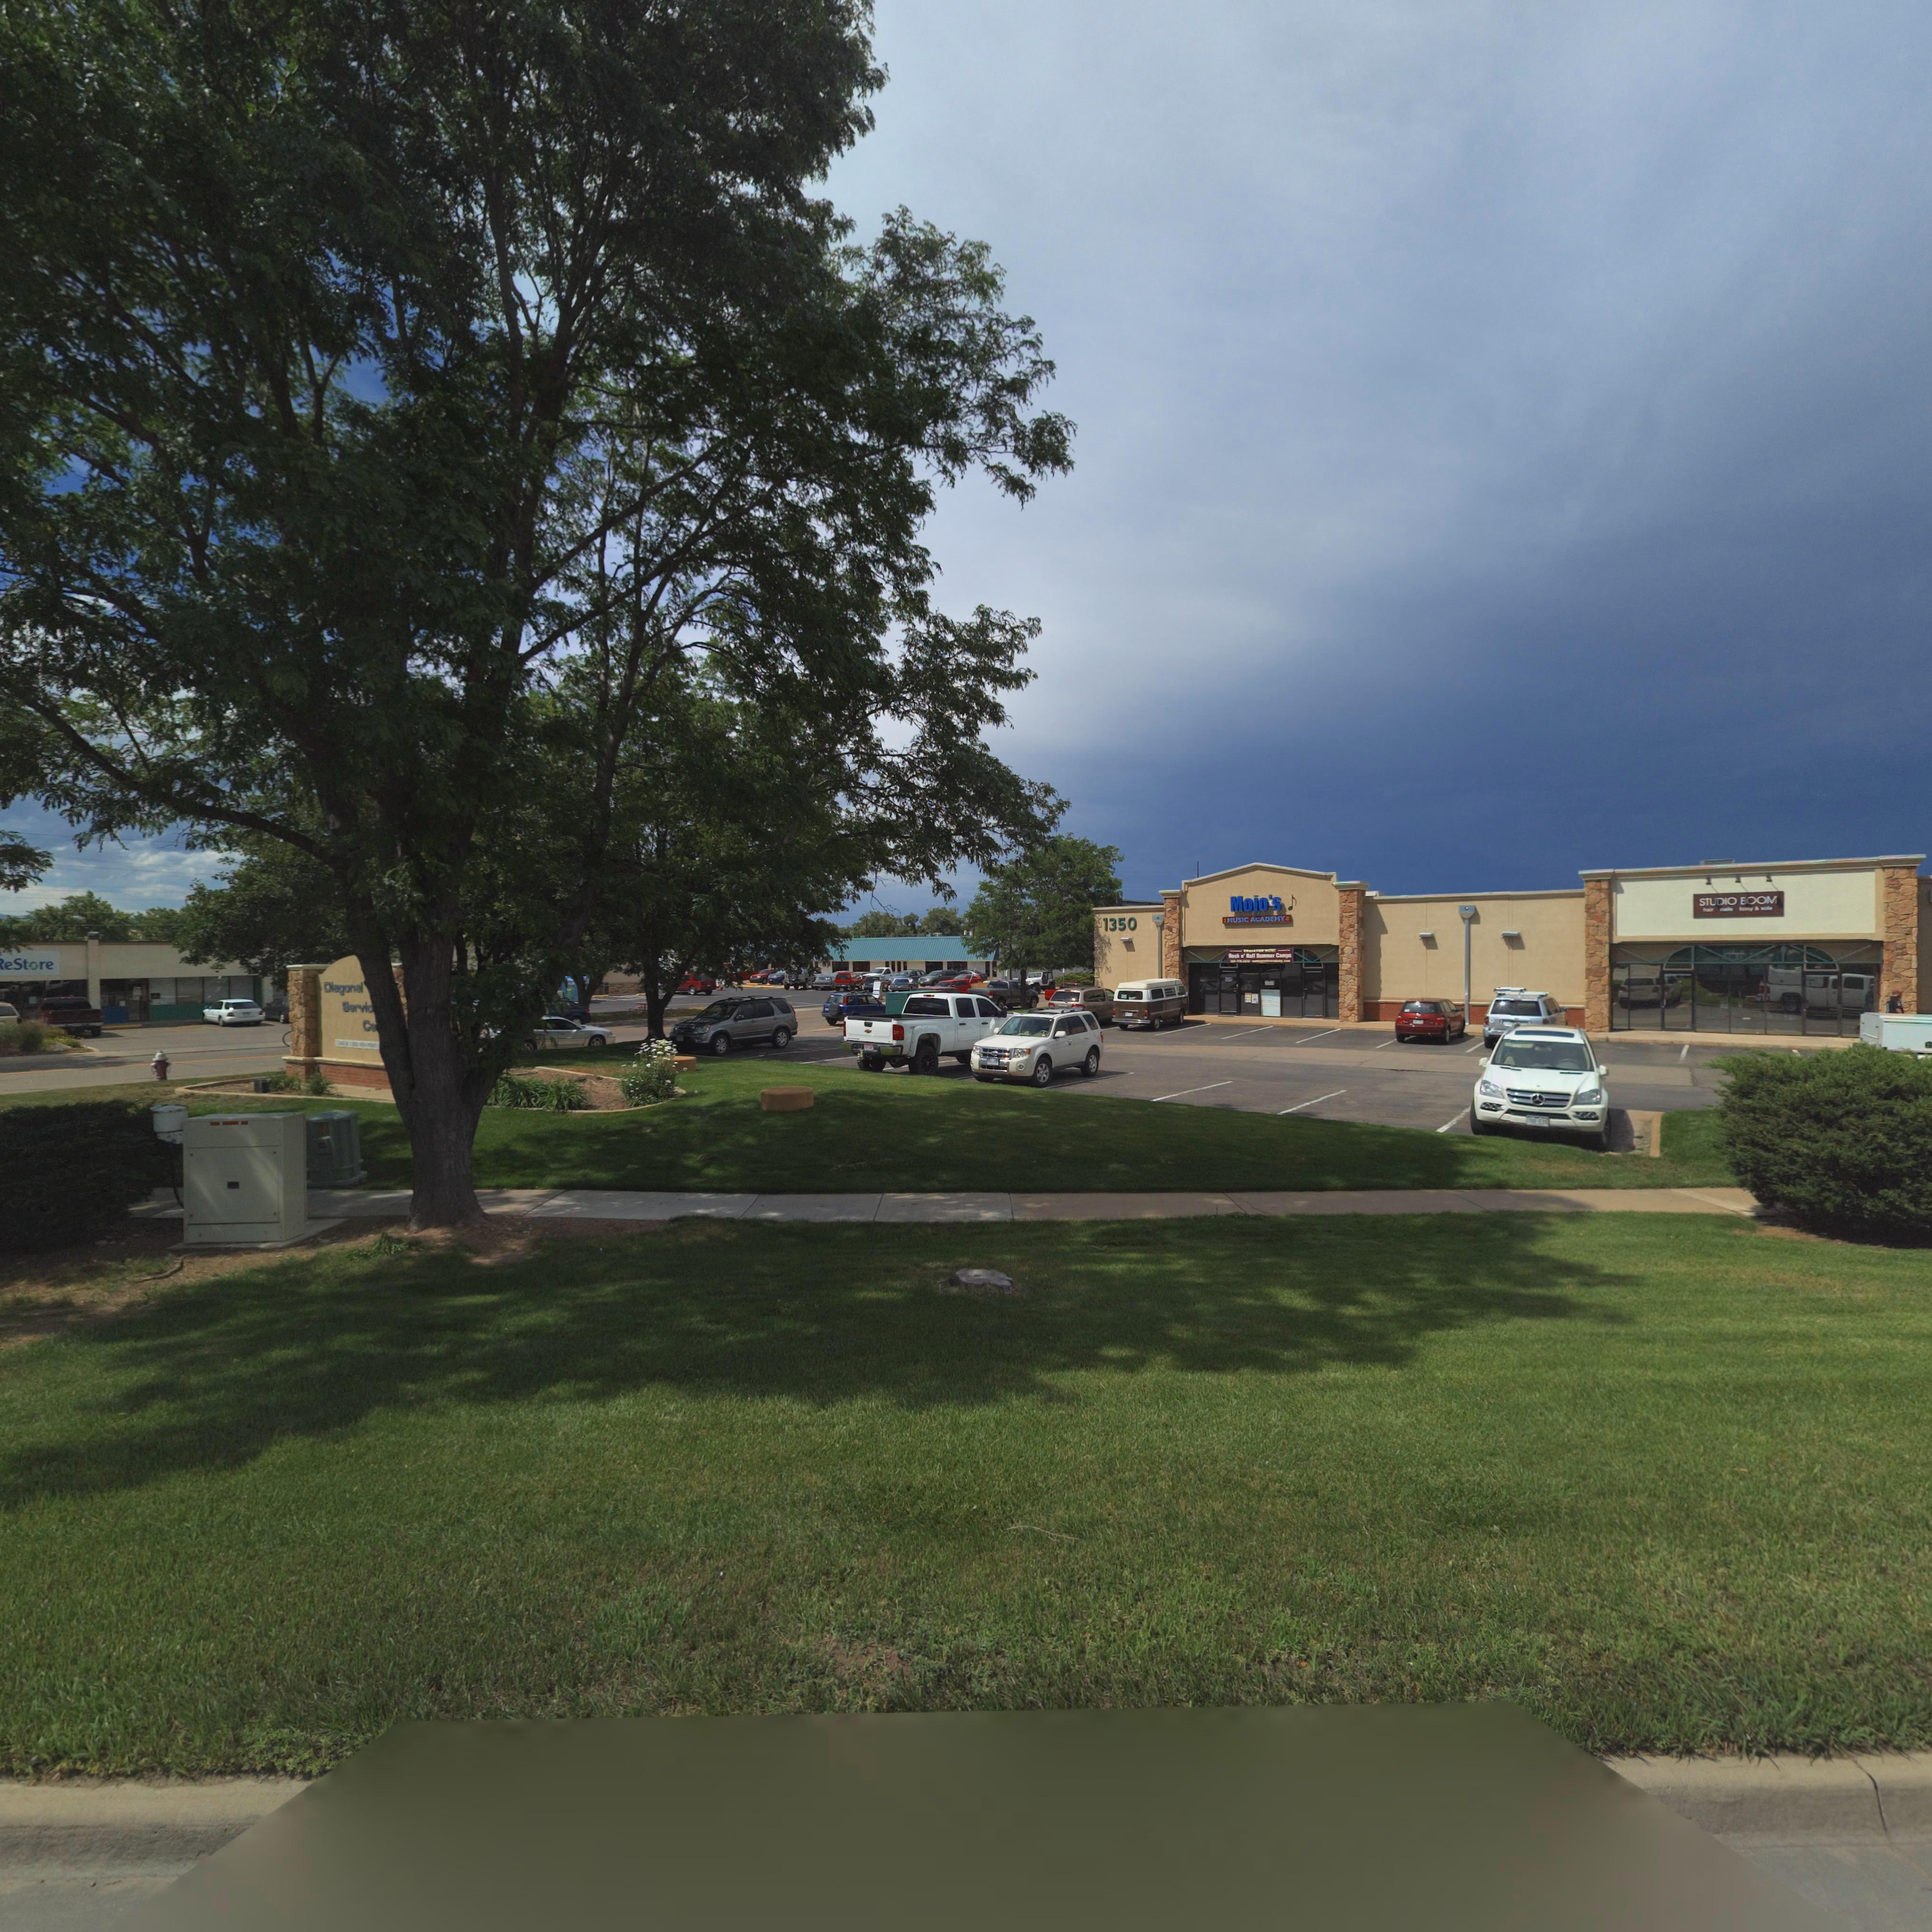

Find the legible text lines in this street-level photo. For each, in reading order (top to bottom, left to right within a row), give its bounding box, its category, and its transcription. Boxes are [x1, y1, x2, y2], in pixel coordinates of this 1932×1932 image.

[1230, 894, 1282, 913] BusinessName: Mojo's
[1698, 895, 1778, 906] BusinessName: STUDIO BOOM
[1102, 917, 1137, 930] StreetNumber: 1350
[1227, 915, 1285, 923] BusinessName: MUSIC ACADEMY
[3, 957, 54, 970] BusinessName: eStore
[336, 1040, 345, 1046] StreetNumber: 1*40
[348, 1041, 359, 1047] StreetNumber: 12**
[358, 1042, 378, 1049] StreetName: K** P****